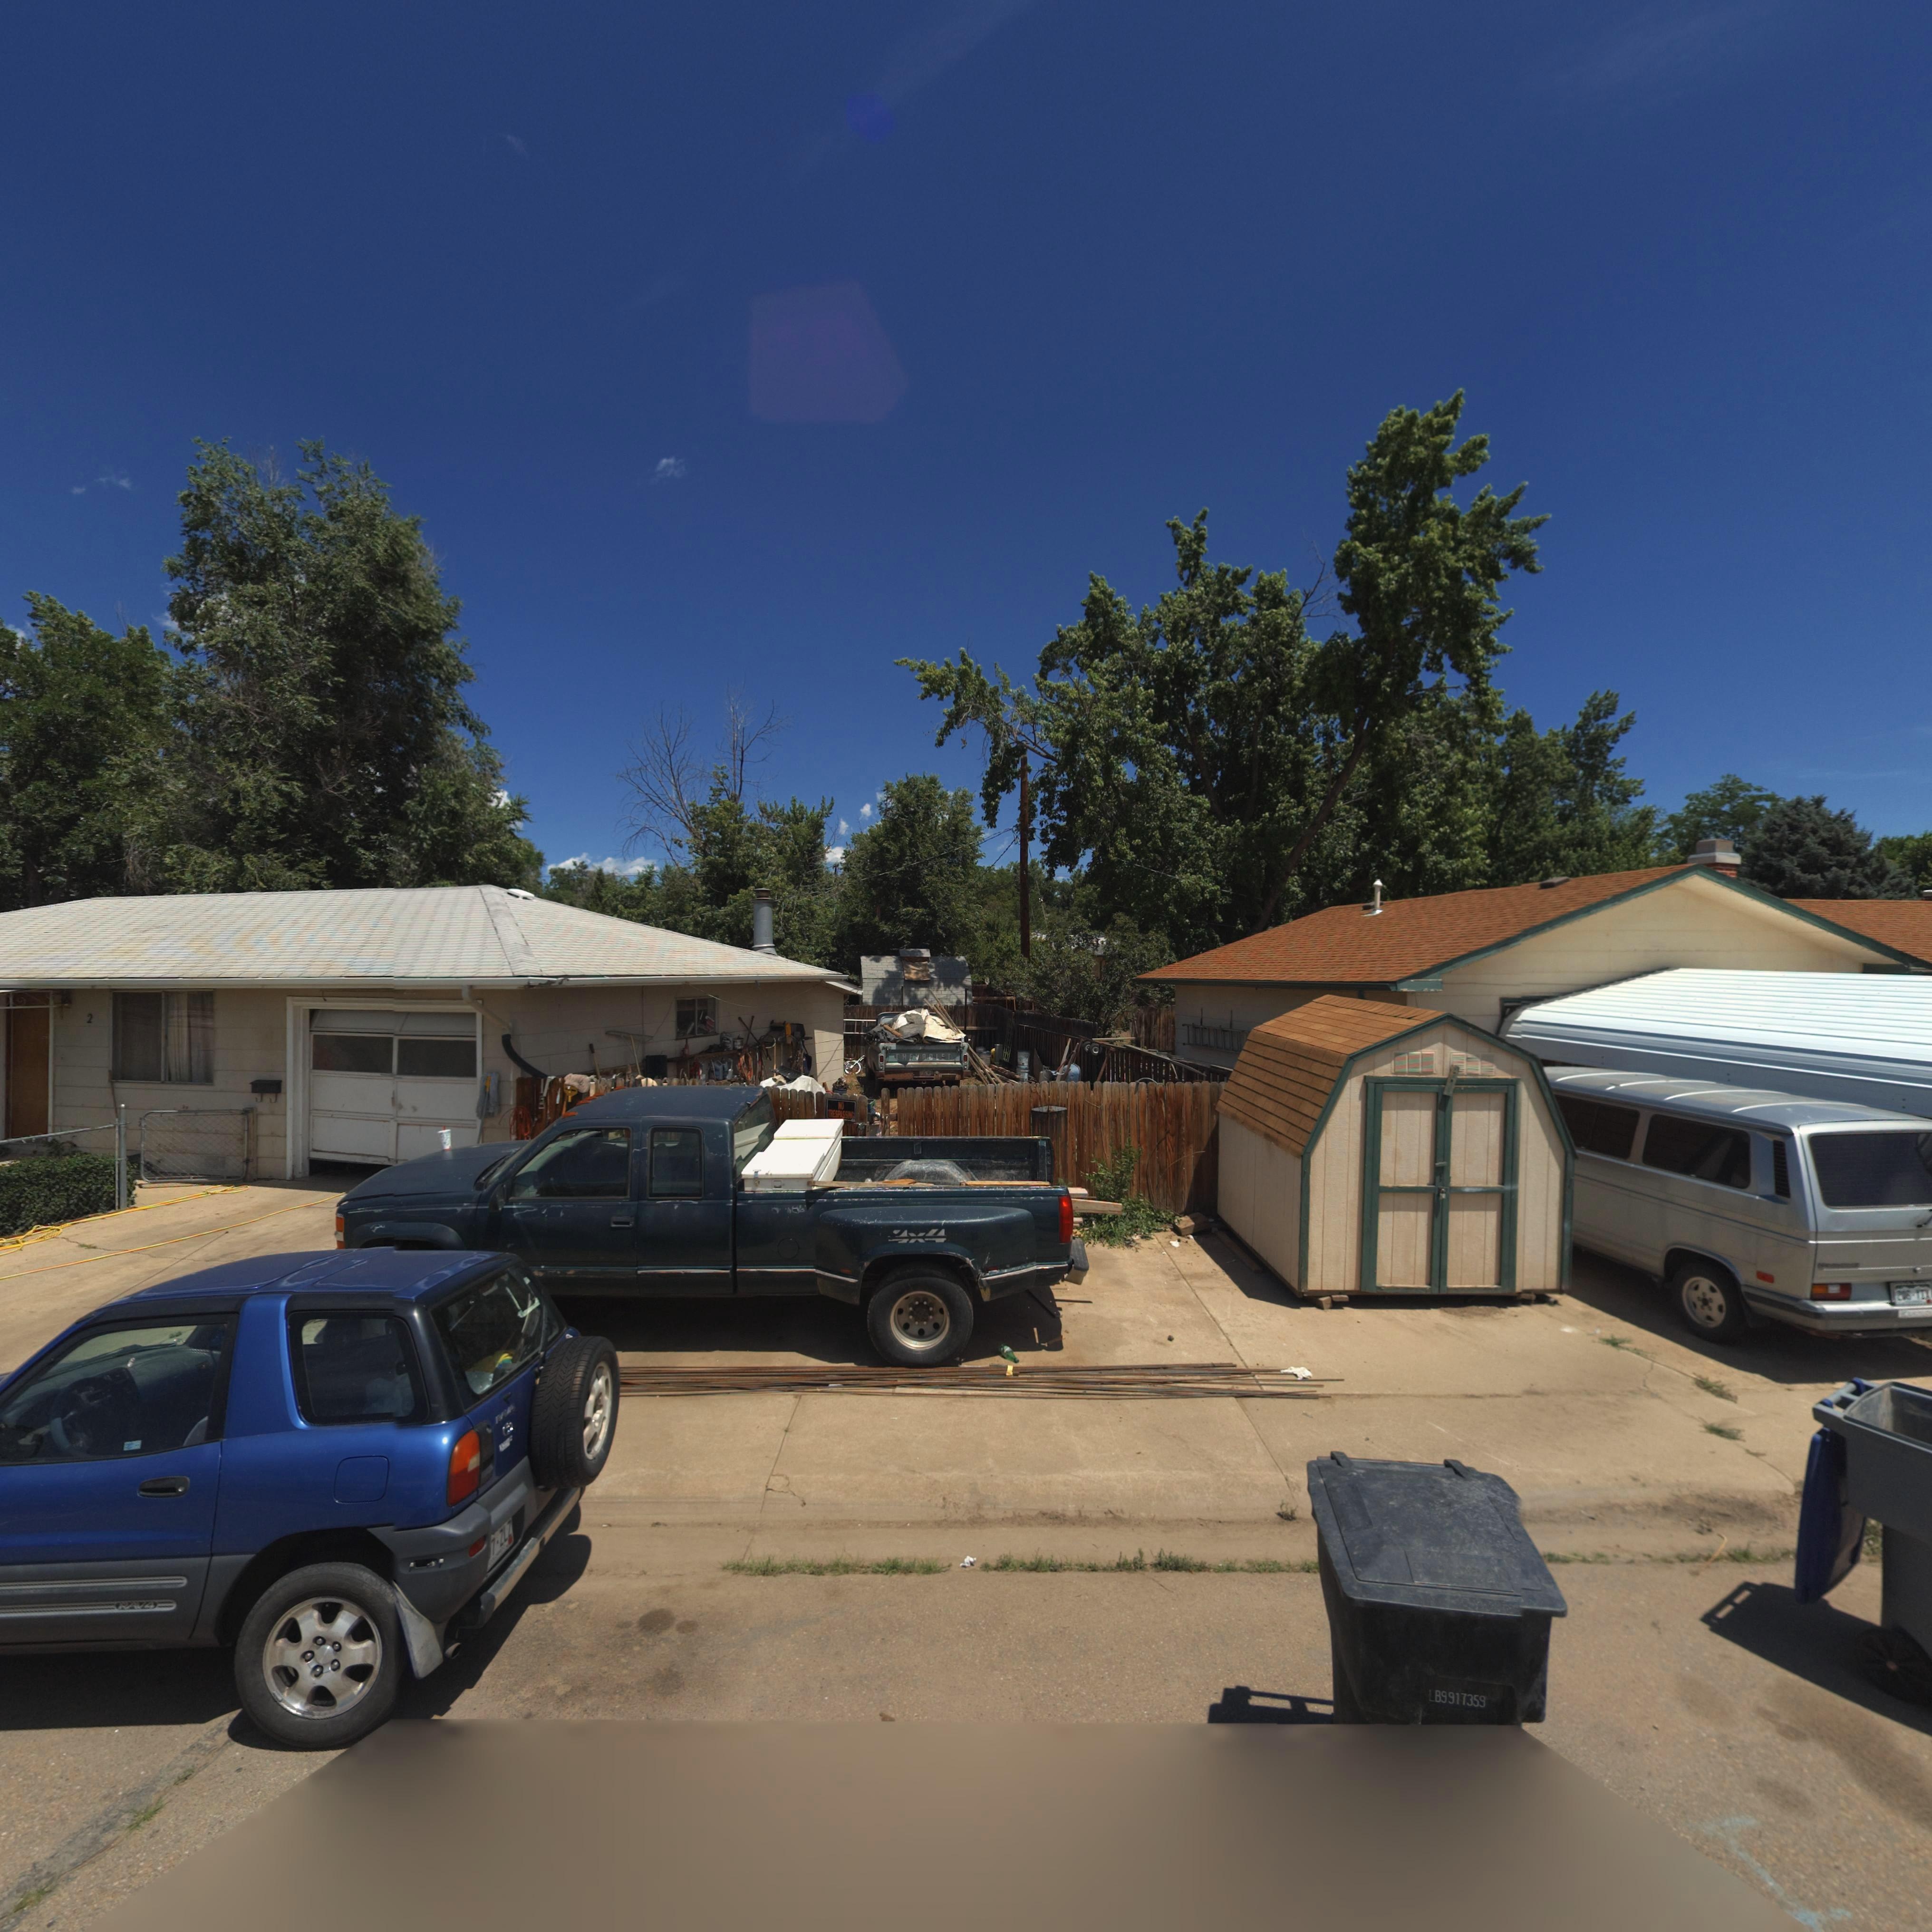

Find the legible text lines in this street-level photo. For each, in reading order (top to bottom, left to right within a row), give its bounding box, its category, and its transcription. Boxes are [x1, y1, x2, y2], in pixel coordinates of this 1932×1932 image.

[86, 1013, 93, 1023] StreetNumber: 2